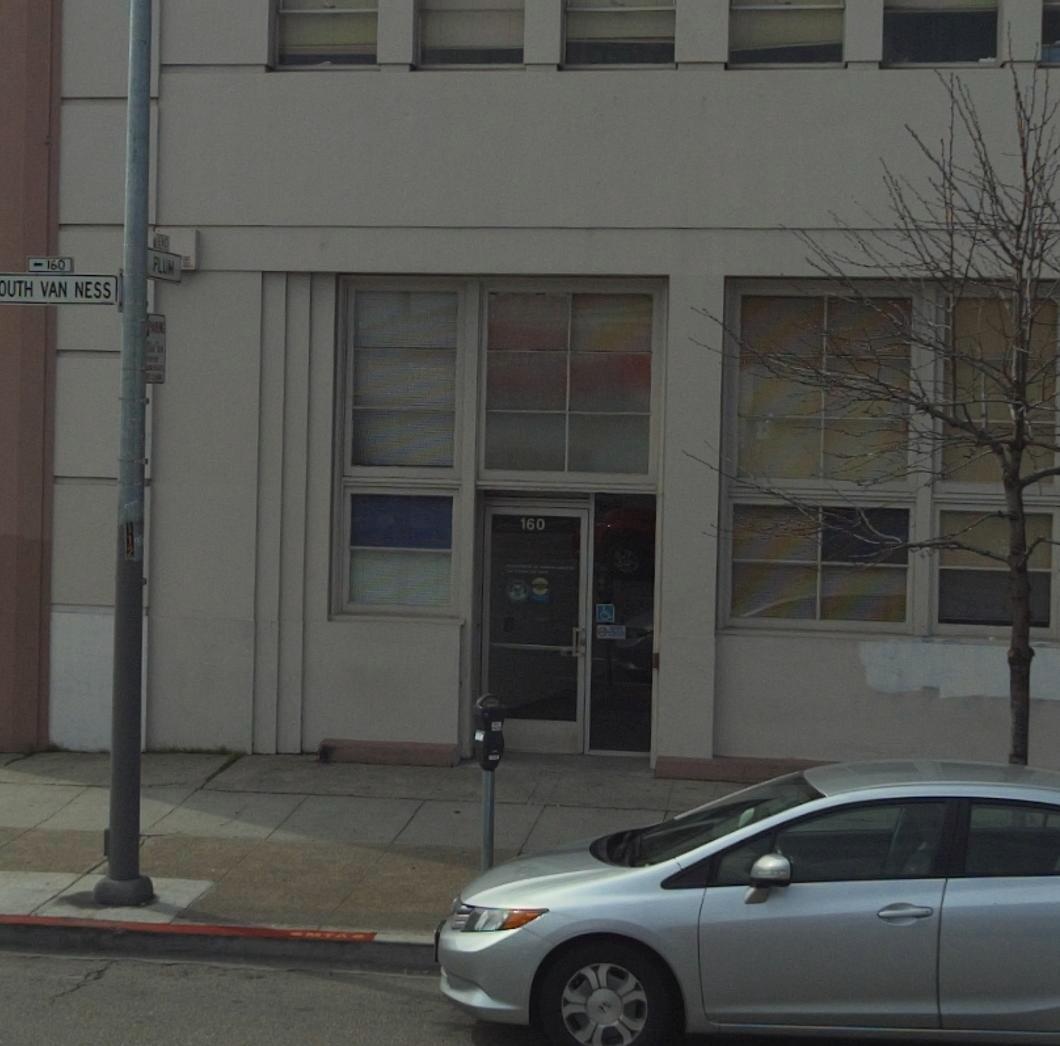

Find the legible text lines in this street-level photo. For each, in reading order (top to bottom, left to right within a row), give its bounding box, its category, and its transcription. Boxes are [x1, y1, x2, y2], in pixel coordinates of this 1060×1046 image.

[157, 236, 169, 247] None: END
[33, 258, 66, 271] StreetNumberRange: <-160
[153, 255, 175, 276] StreetName: PLUM
[7, 279, 112, 300] StreetName: UTH VAN NESS
[148, 321, 165, 334] None: PARKING
[519, 516, 546, 531] StreetNumber: 160
[126, 523, 134, 558] None: 112
[307, 931, 347, 940] None: MTA